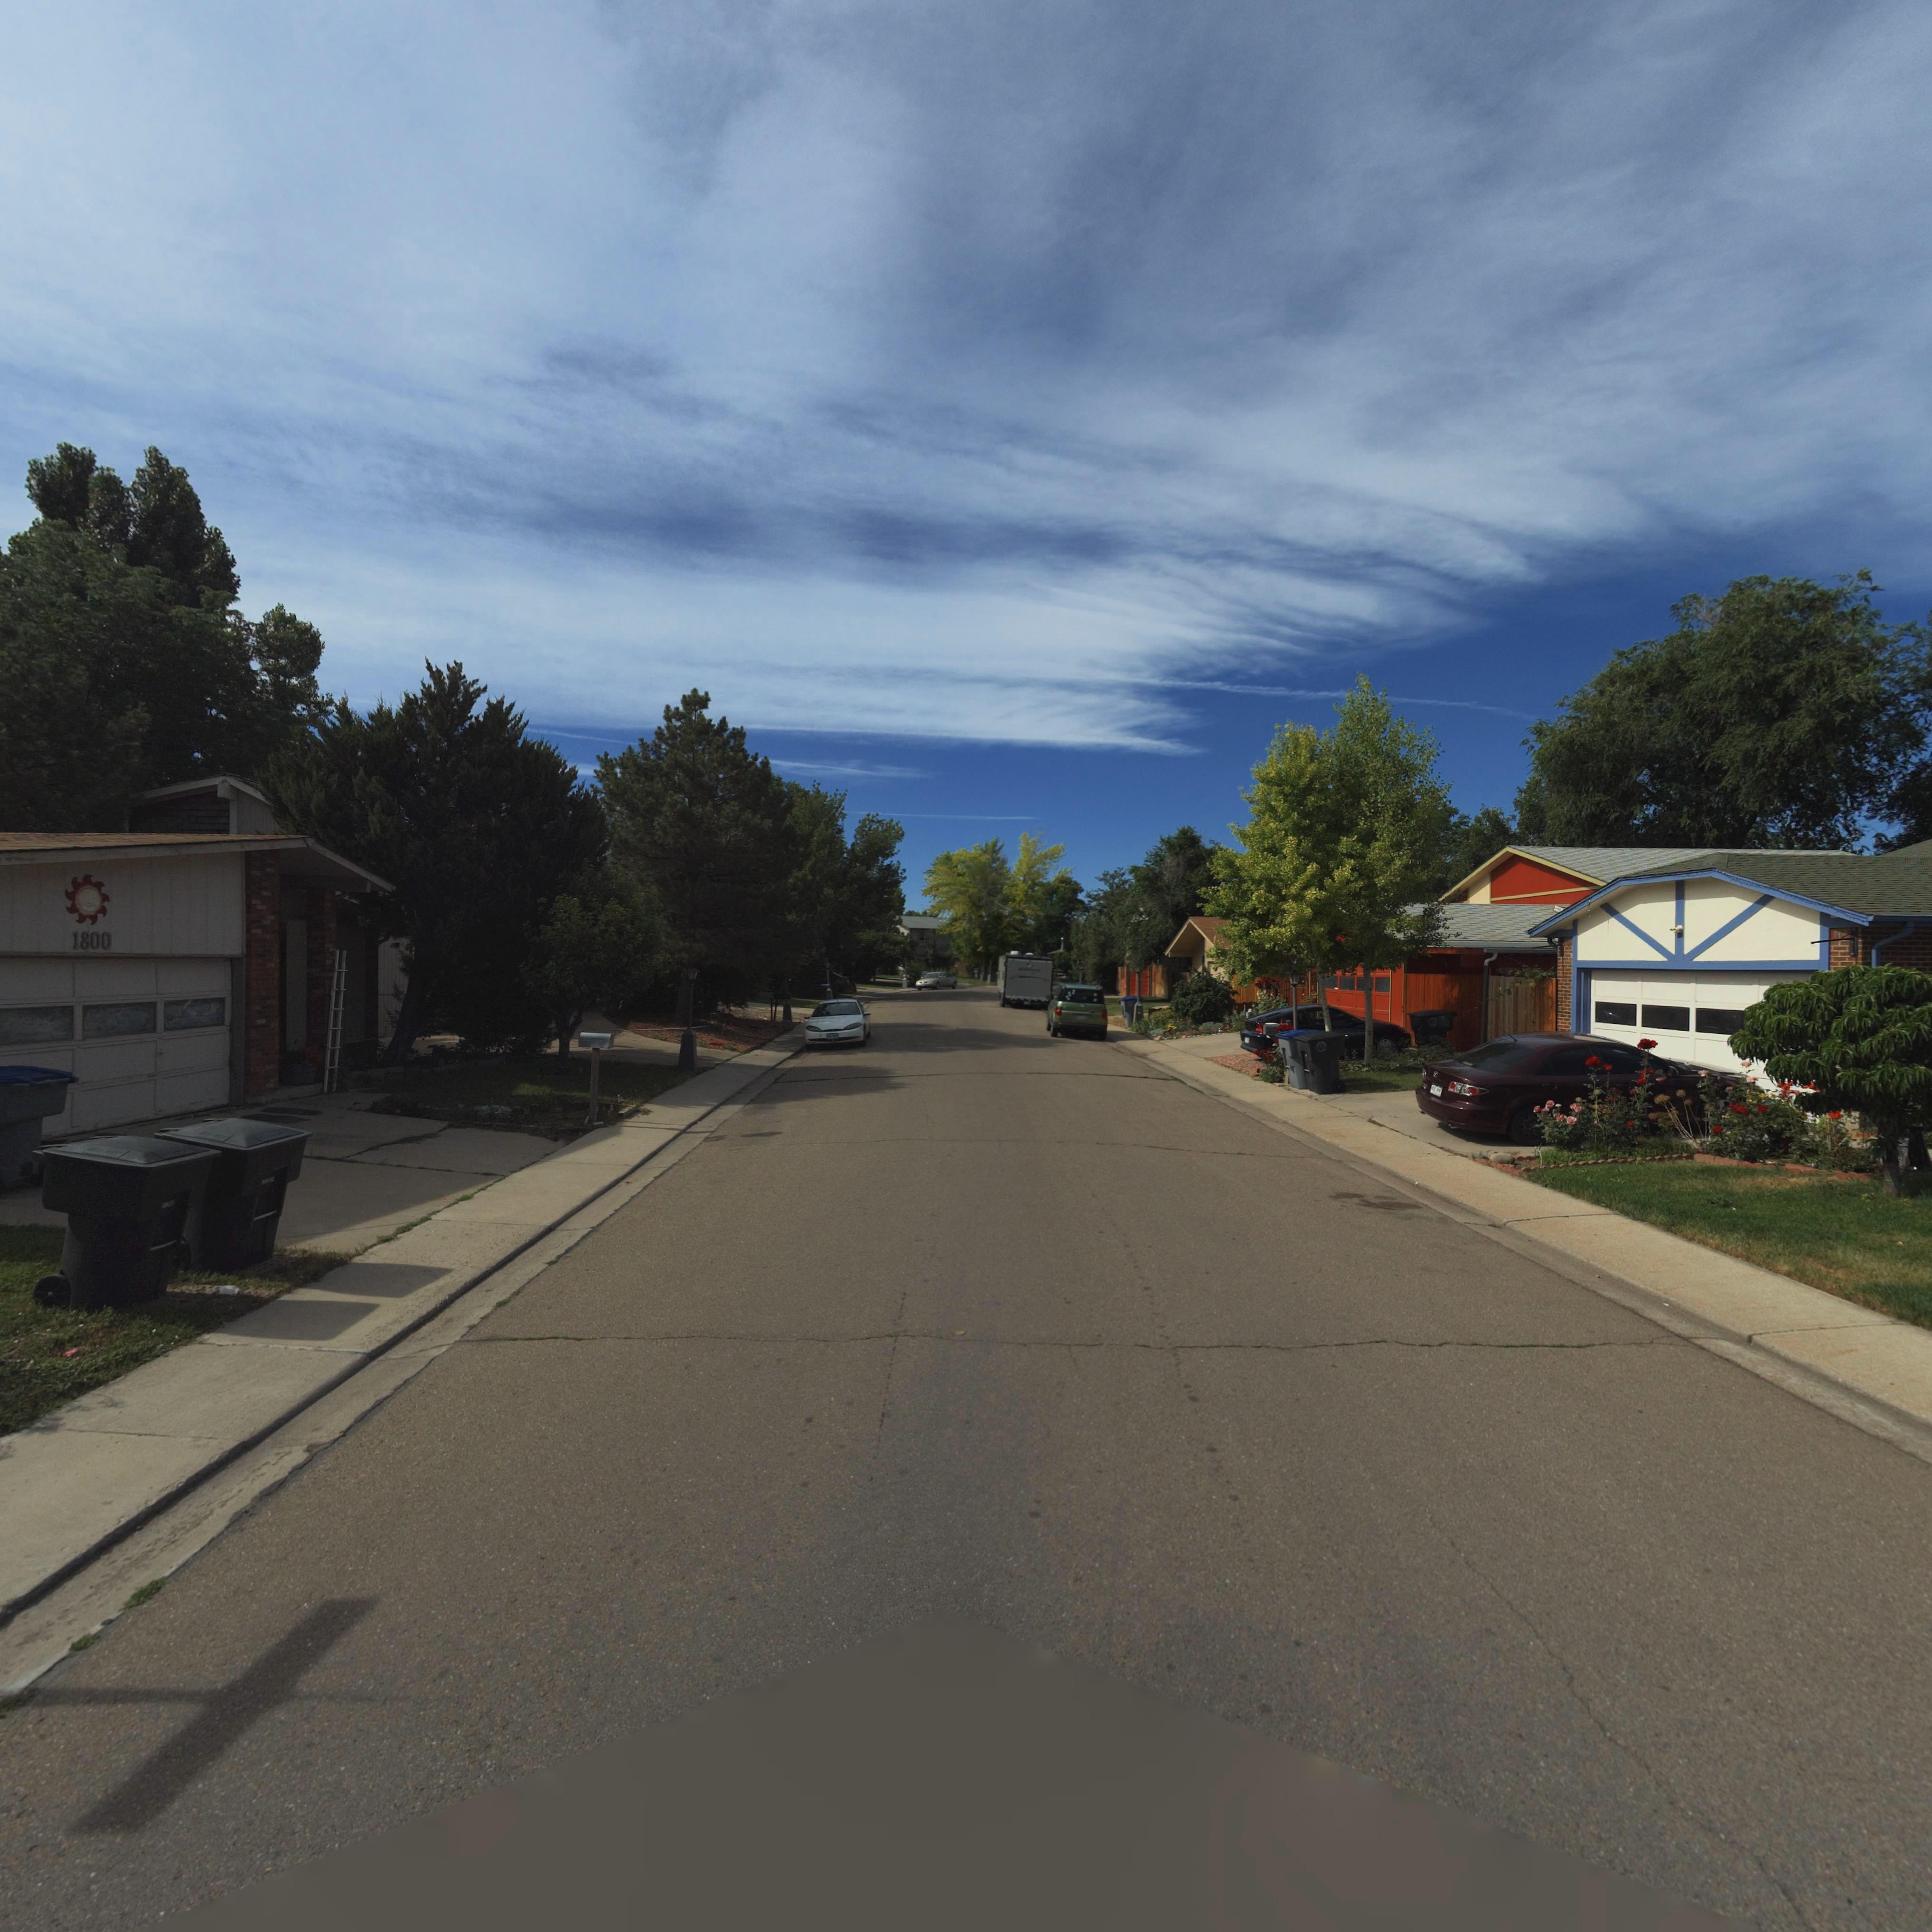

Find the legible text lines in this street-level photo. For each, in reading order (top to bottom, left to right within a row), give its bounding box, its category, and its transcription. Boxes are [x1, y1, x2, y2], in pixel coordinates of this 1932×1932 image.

[71, 930, 113, 951] StreetNumber: 1800